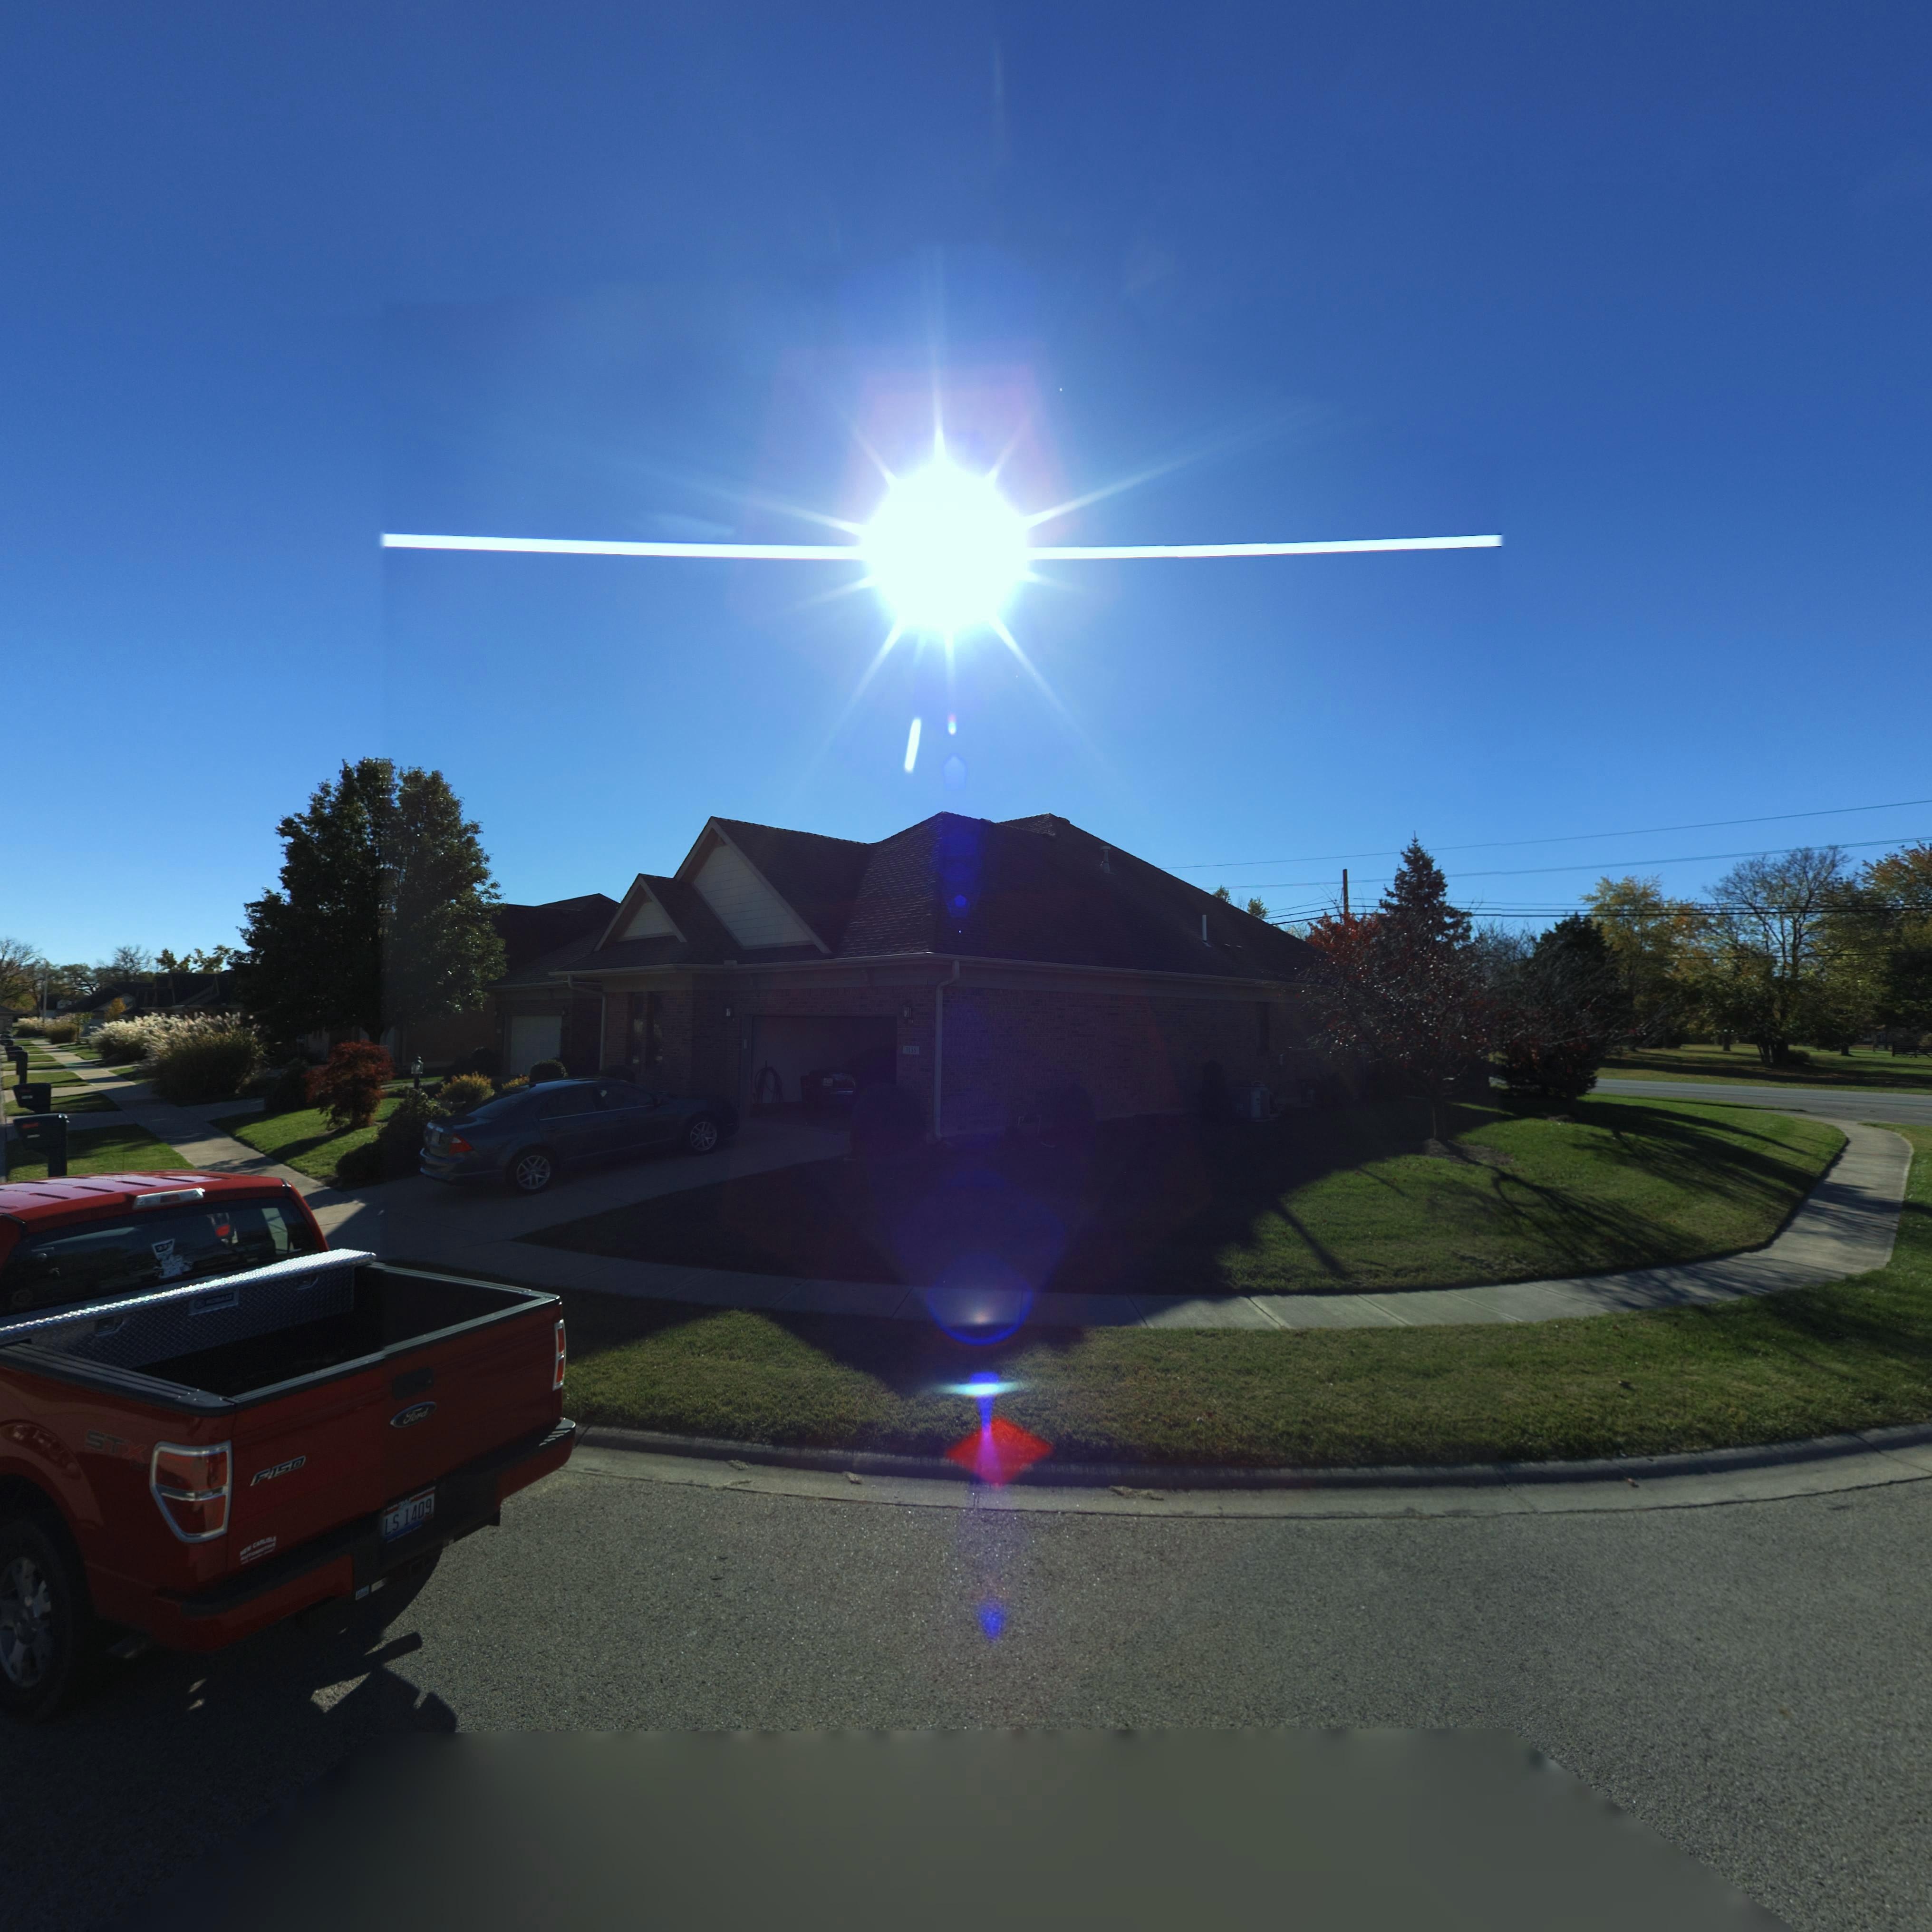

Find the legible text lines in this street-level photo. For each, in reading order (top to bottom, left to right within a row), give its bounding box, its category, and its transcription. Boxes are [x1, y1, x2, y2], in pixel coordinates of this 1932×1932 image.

[905, 1047, 917, 1053] StreetNumber: 7135